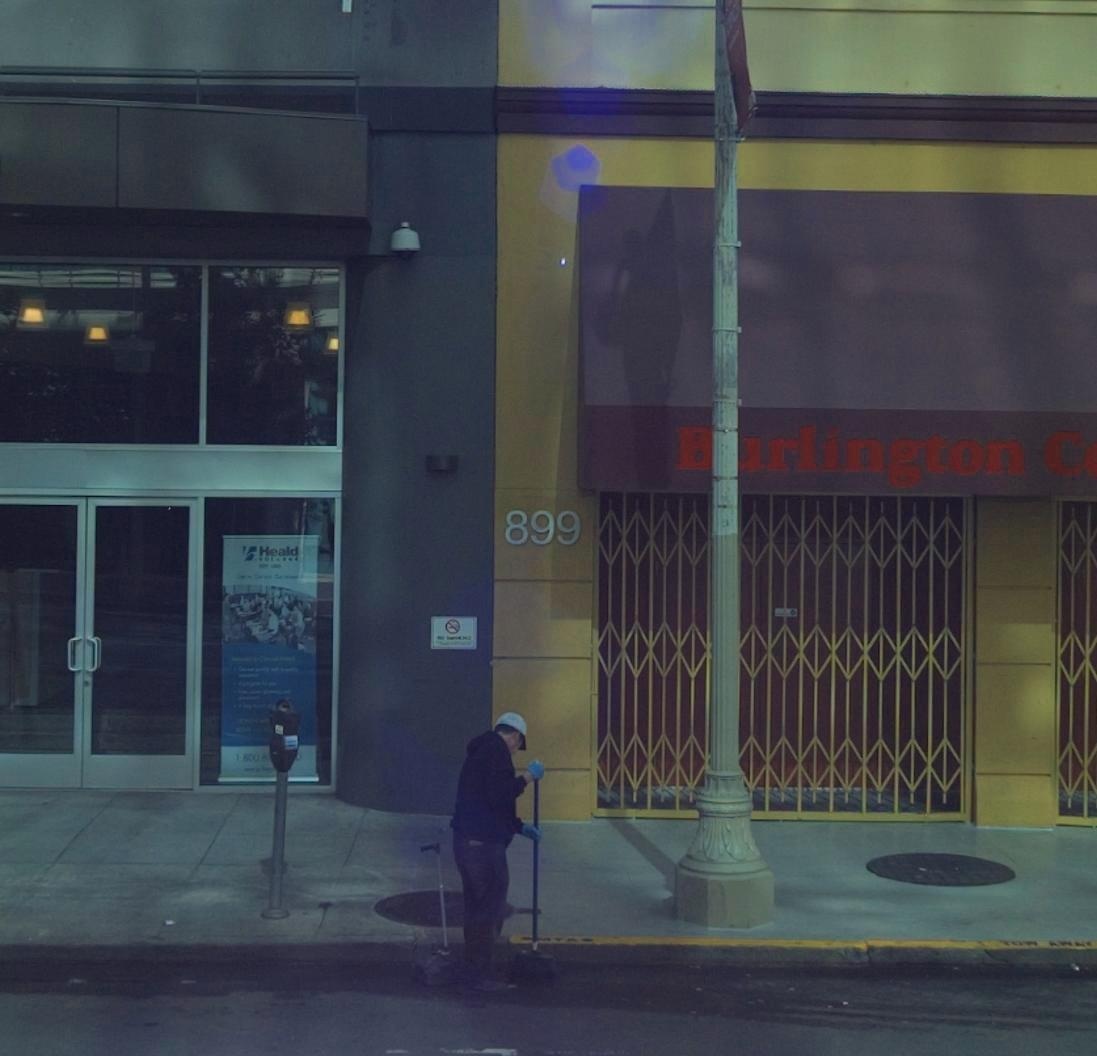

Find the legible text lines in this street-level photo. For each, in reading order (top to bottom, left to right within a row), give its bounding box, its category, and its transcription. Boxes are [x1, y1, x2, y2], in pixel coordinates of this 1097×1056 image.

[671, 418, 1091, 498] BusinessName: B*rlington C
[257, 543, 302, 559] None: Heald
[502, 507, 585, 551] StreetNumber: 899